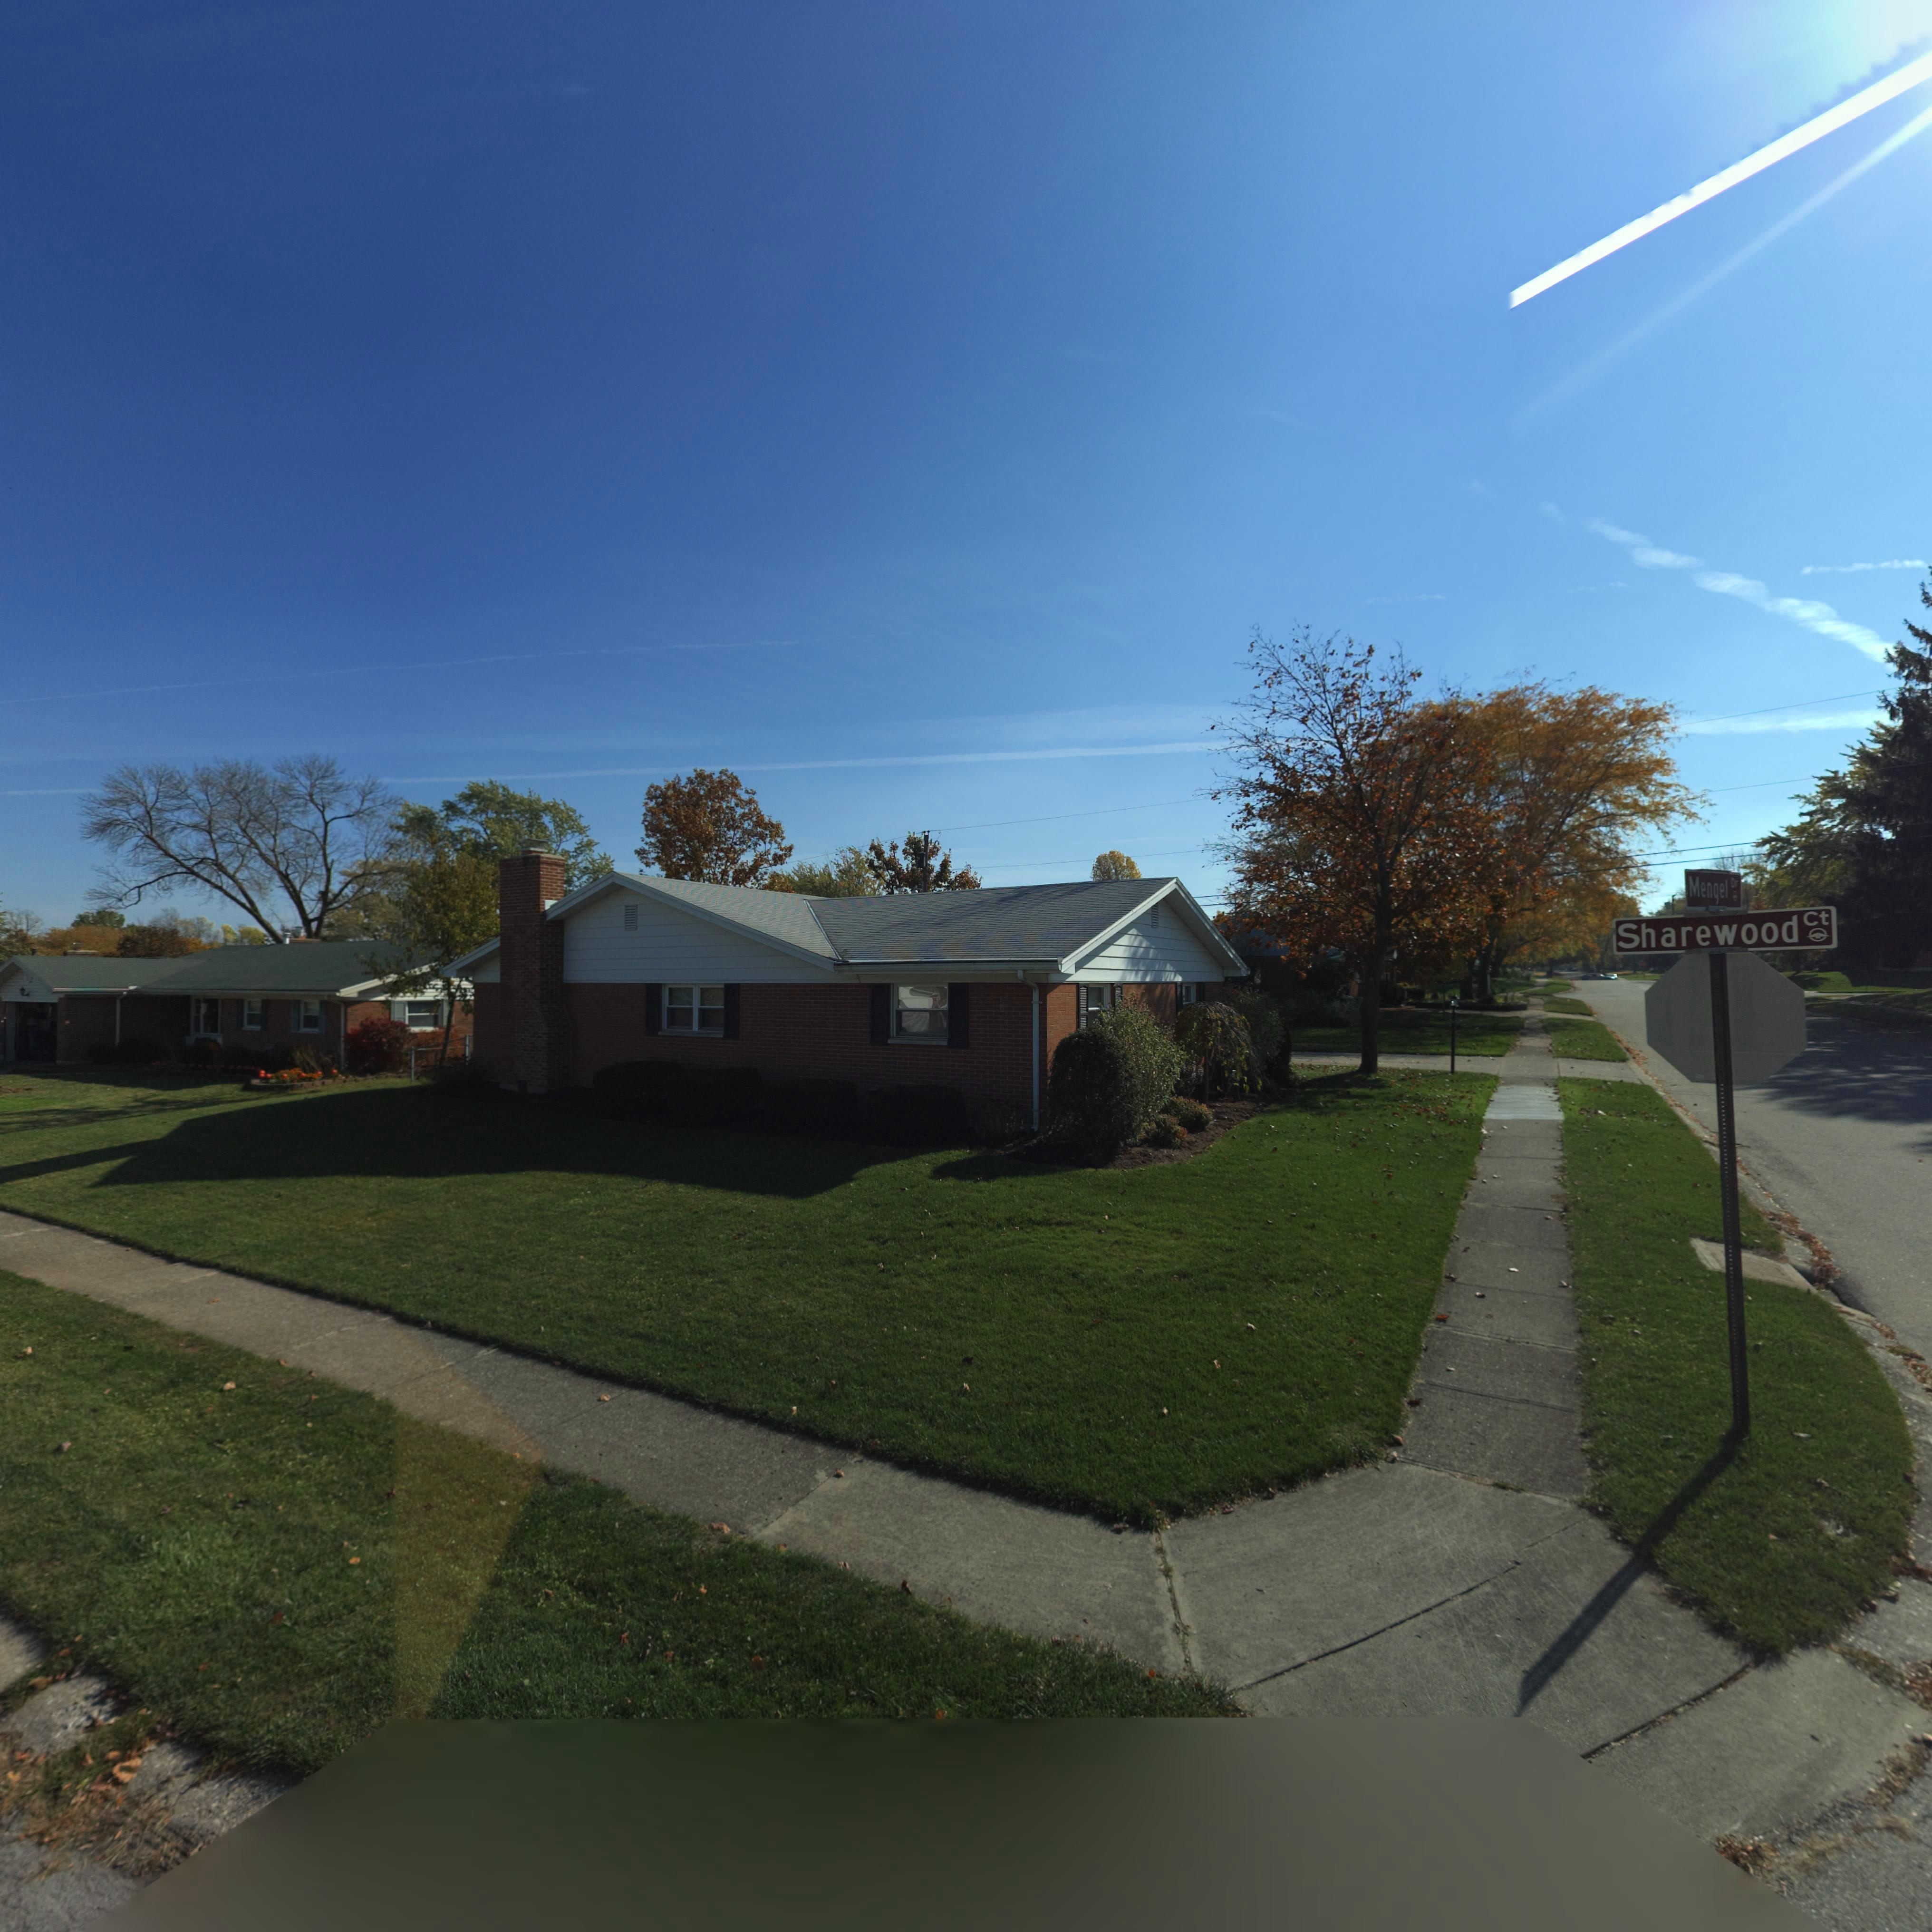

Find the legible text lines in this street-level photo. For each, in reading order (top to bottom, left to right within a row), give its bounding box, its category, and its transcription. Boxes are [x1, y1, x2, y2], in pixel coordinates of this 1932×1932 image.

[1688, 874, 1739, 906] StreetName: Mengel Dr
[1616, 909, 1830, 950] StreetName: Sharewood Ct